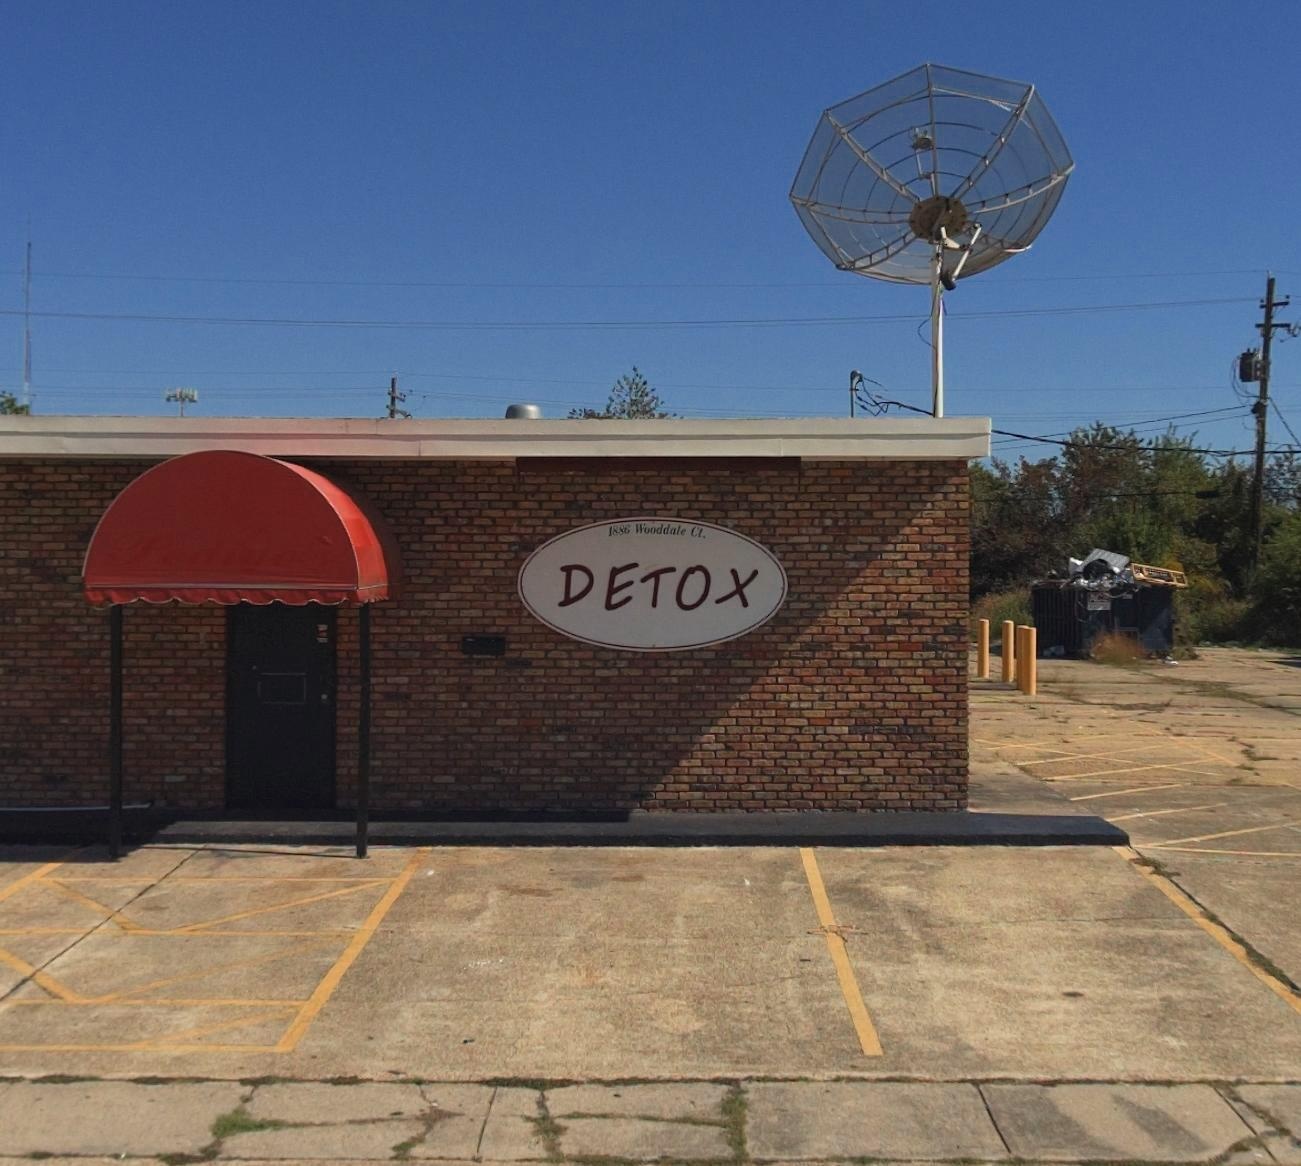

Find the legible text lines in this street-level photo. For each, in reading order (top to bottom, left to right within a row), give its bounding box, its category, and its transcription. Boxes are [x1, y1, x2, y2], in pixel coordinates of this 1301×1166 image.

[606, 521, 633, 539] StreetNumber: 1886
[633, 519, 709, 542] StreetName: Wooddale Ct.
[555, 560, 764, 615] BusinessName: DETOX